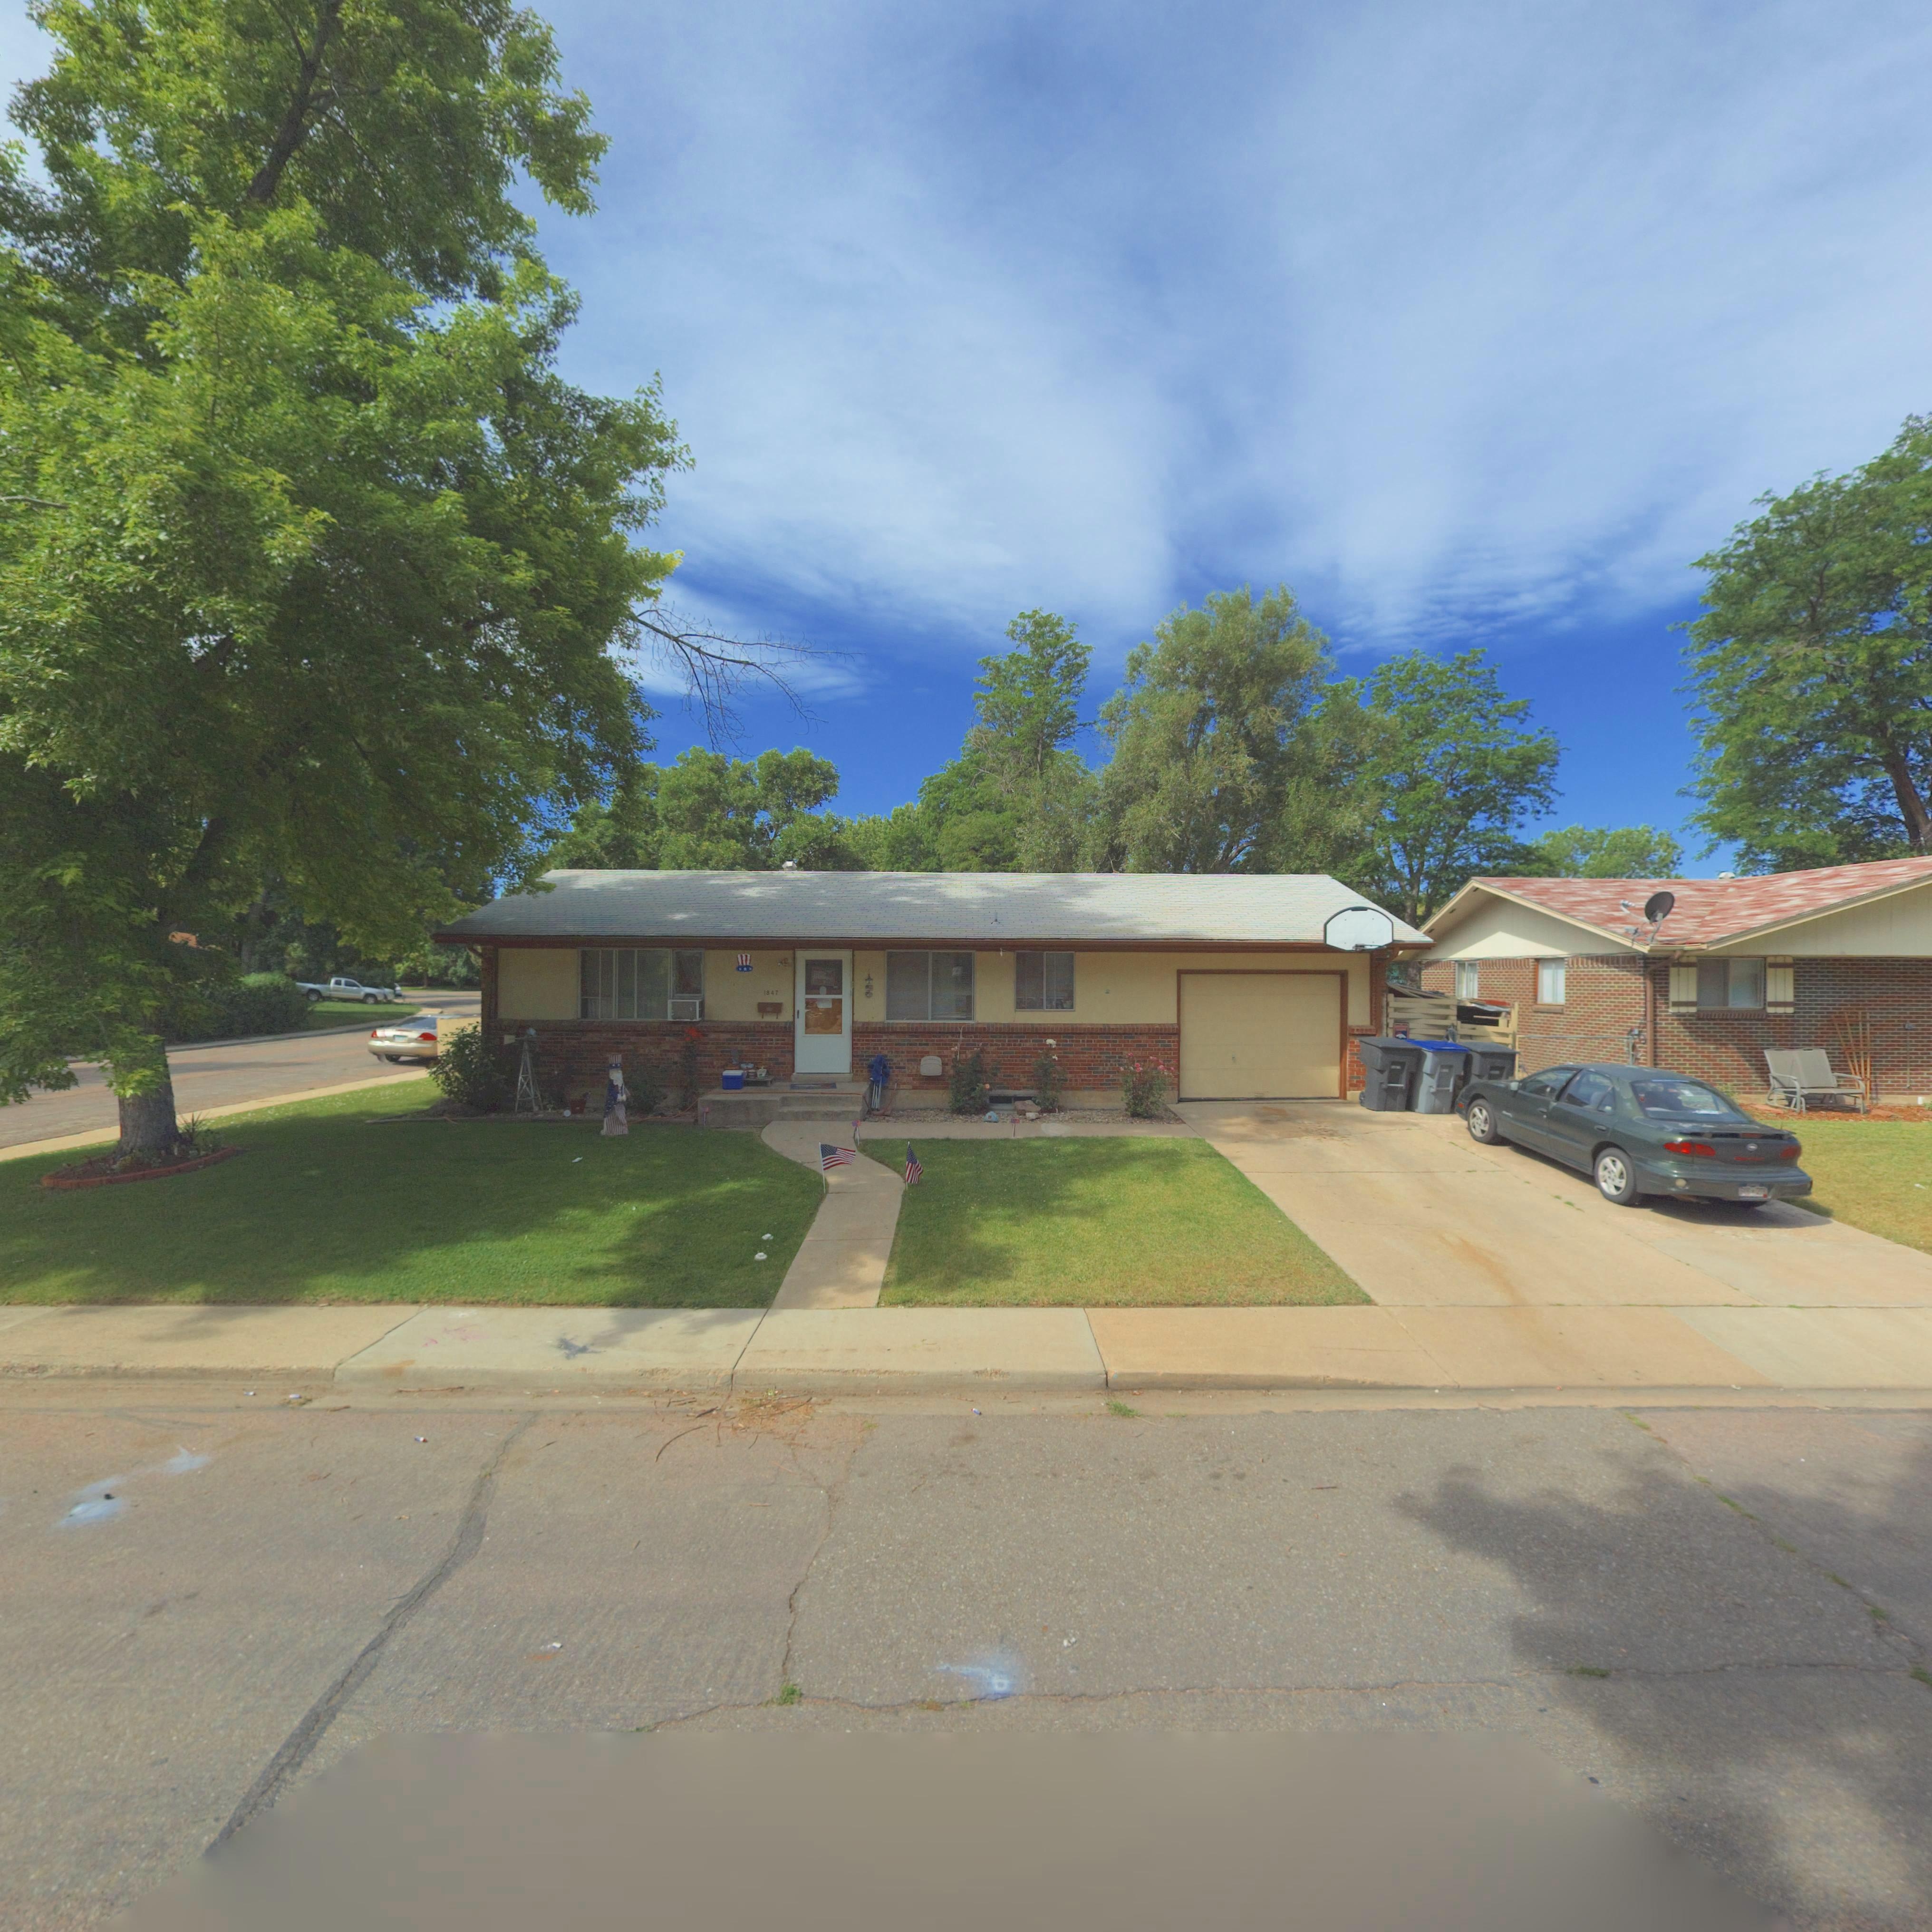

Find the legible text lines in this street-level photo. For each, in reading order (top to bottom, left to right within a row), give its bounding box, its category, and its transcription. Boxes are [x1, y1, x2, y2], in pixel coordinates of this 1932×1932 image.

[763, 990, 779, 996] StreetNumber: 1847